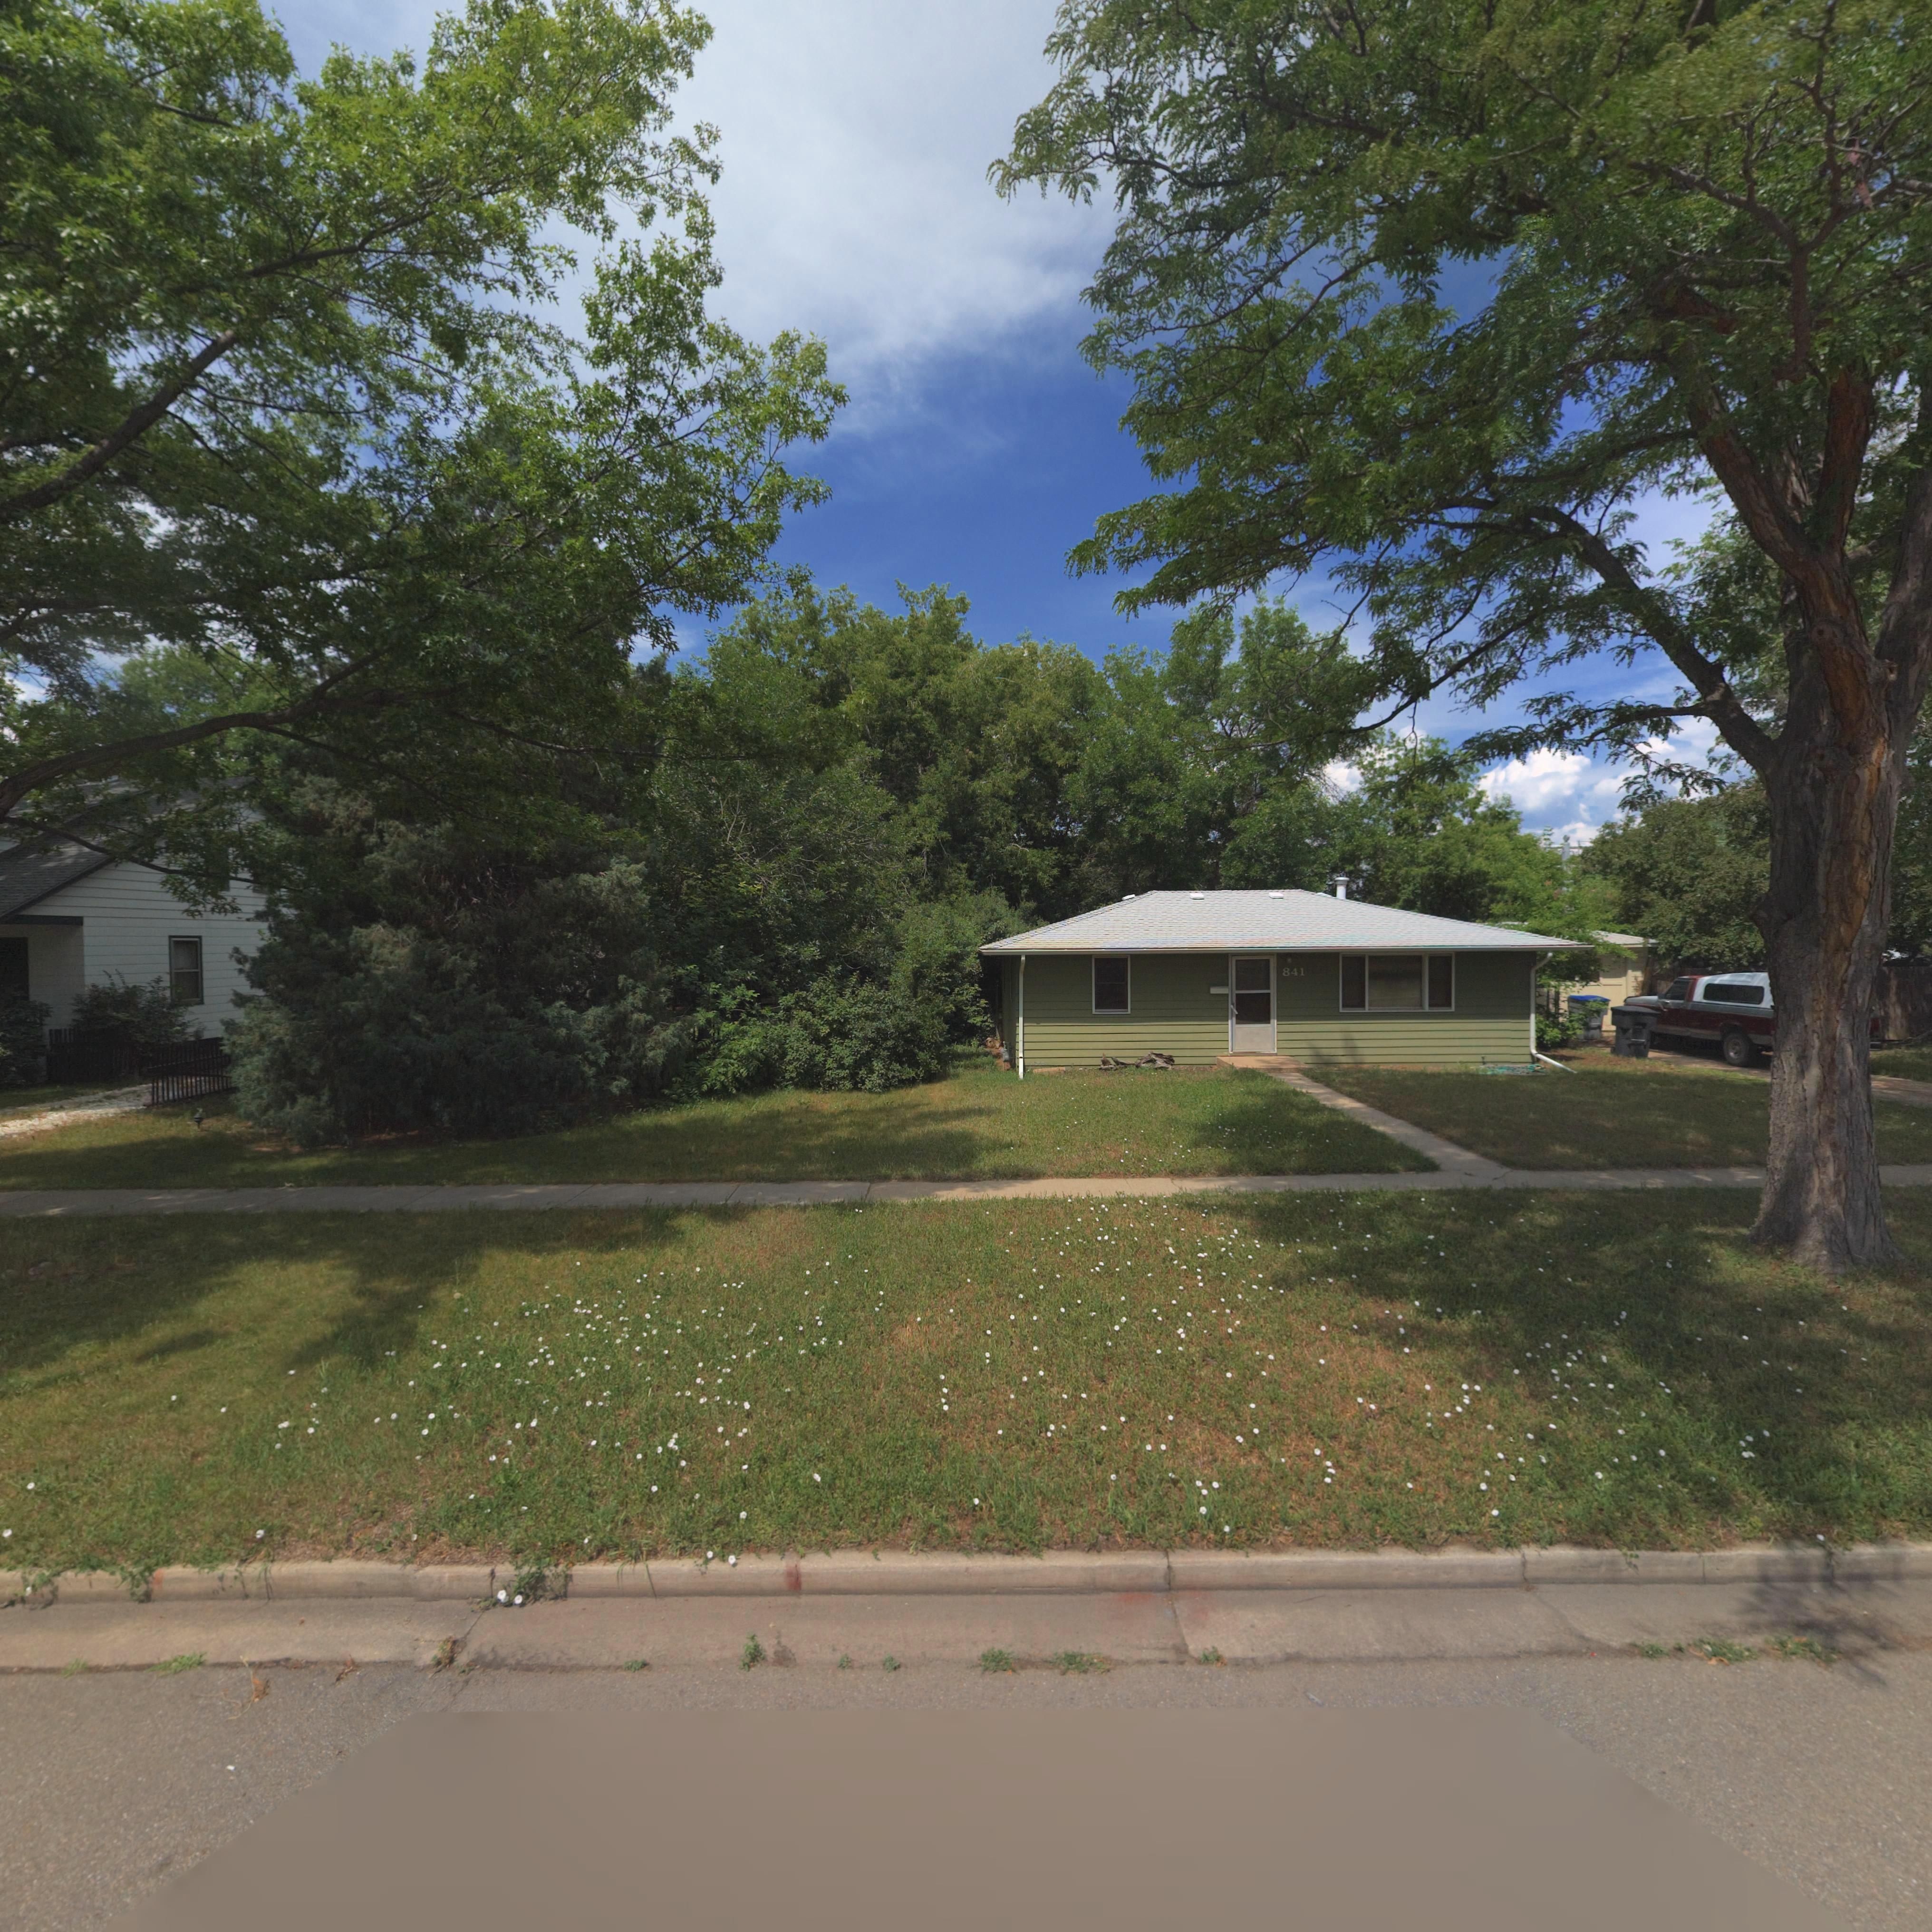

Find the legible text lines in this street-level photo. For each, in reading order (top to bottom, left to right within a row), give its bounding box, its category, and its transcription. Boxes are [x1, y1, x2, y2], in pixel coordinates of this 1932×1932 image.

[1282, 966, 1305, 976] StreetNumber: 841